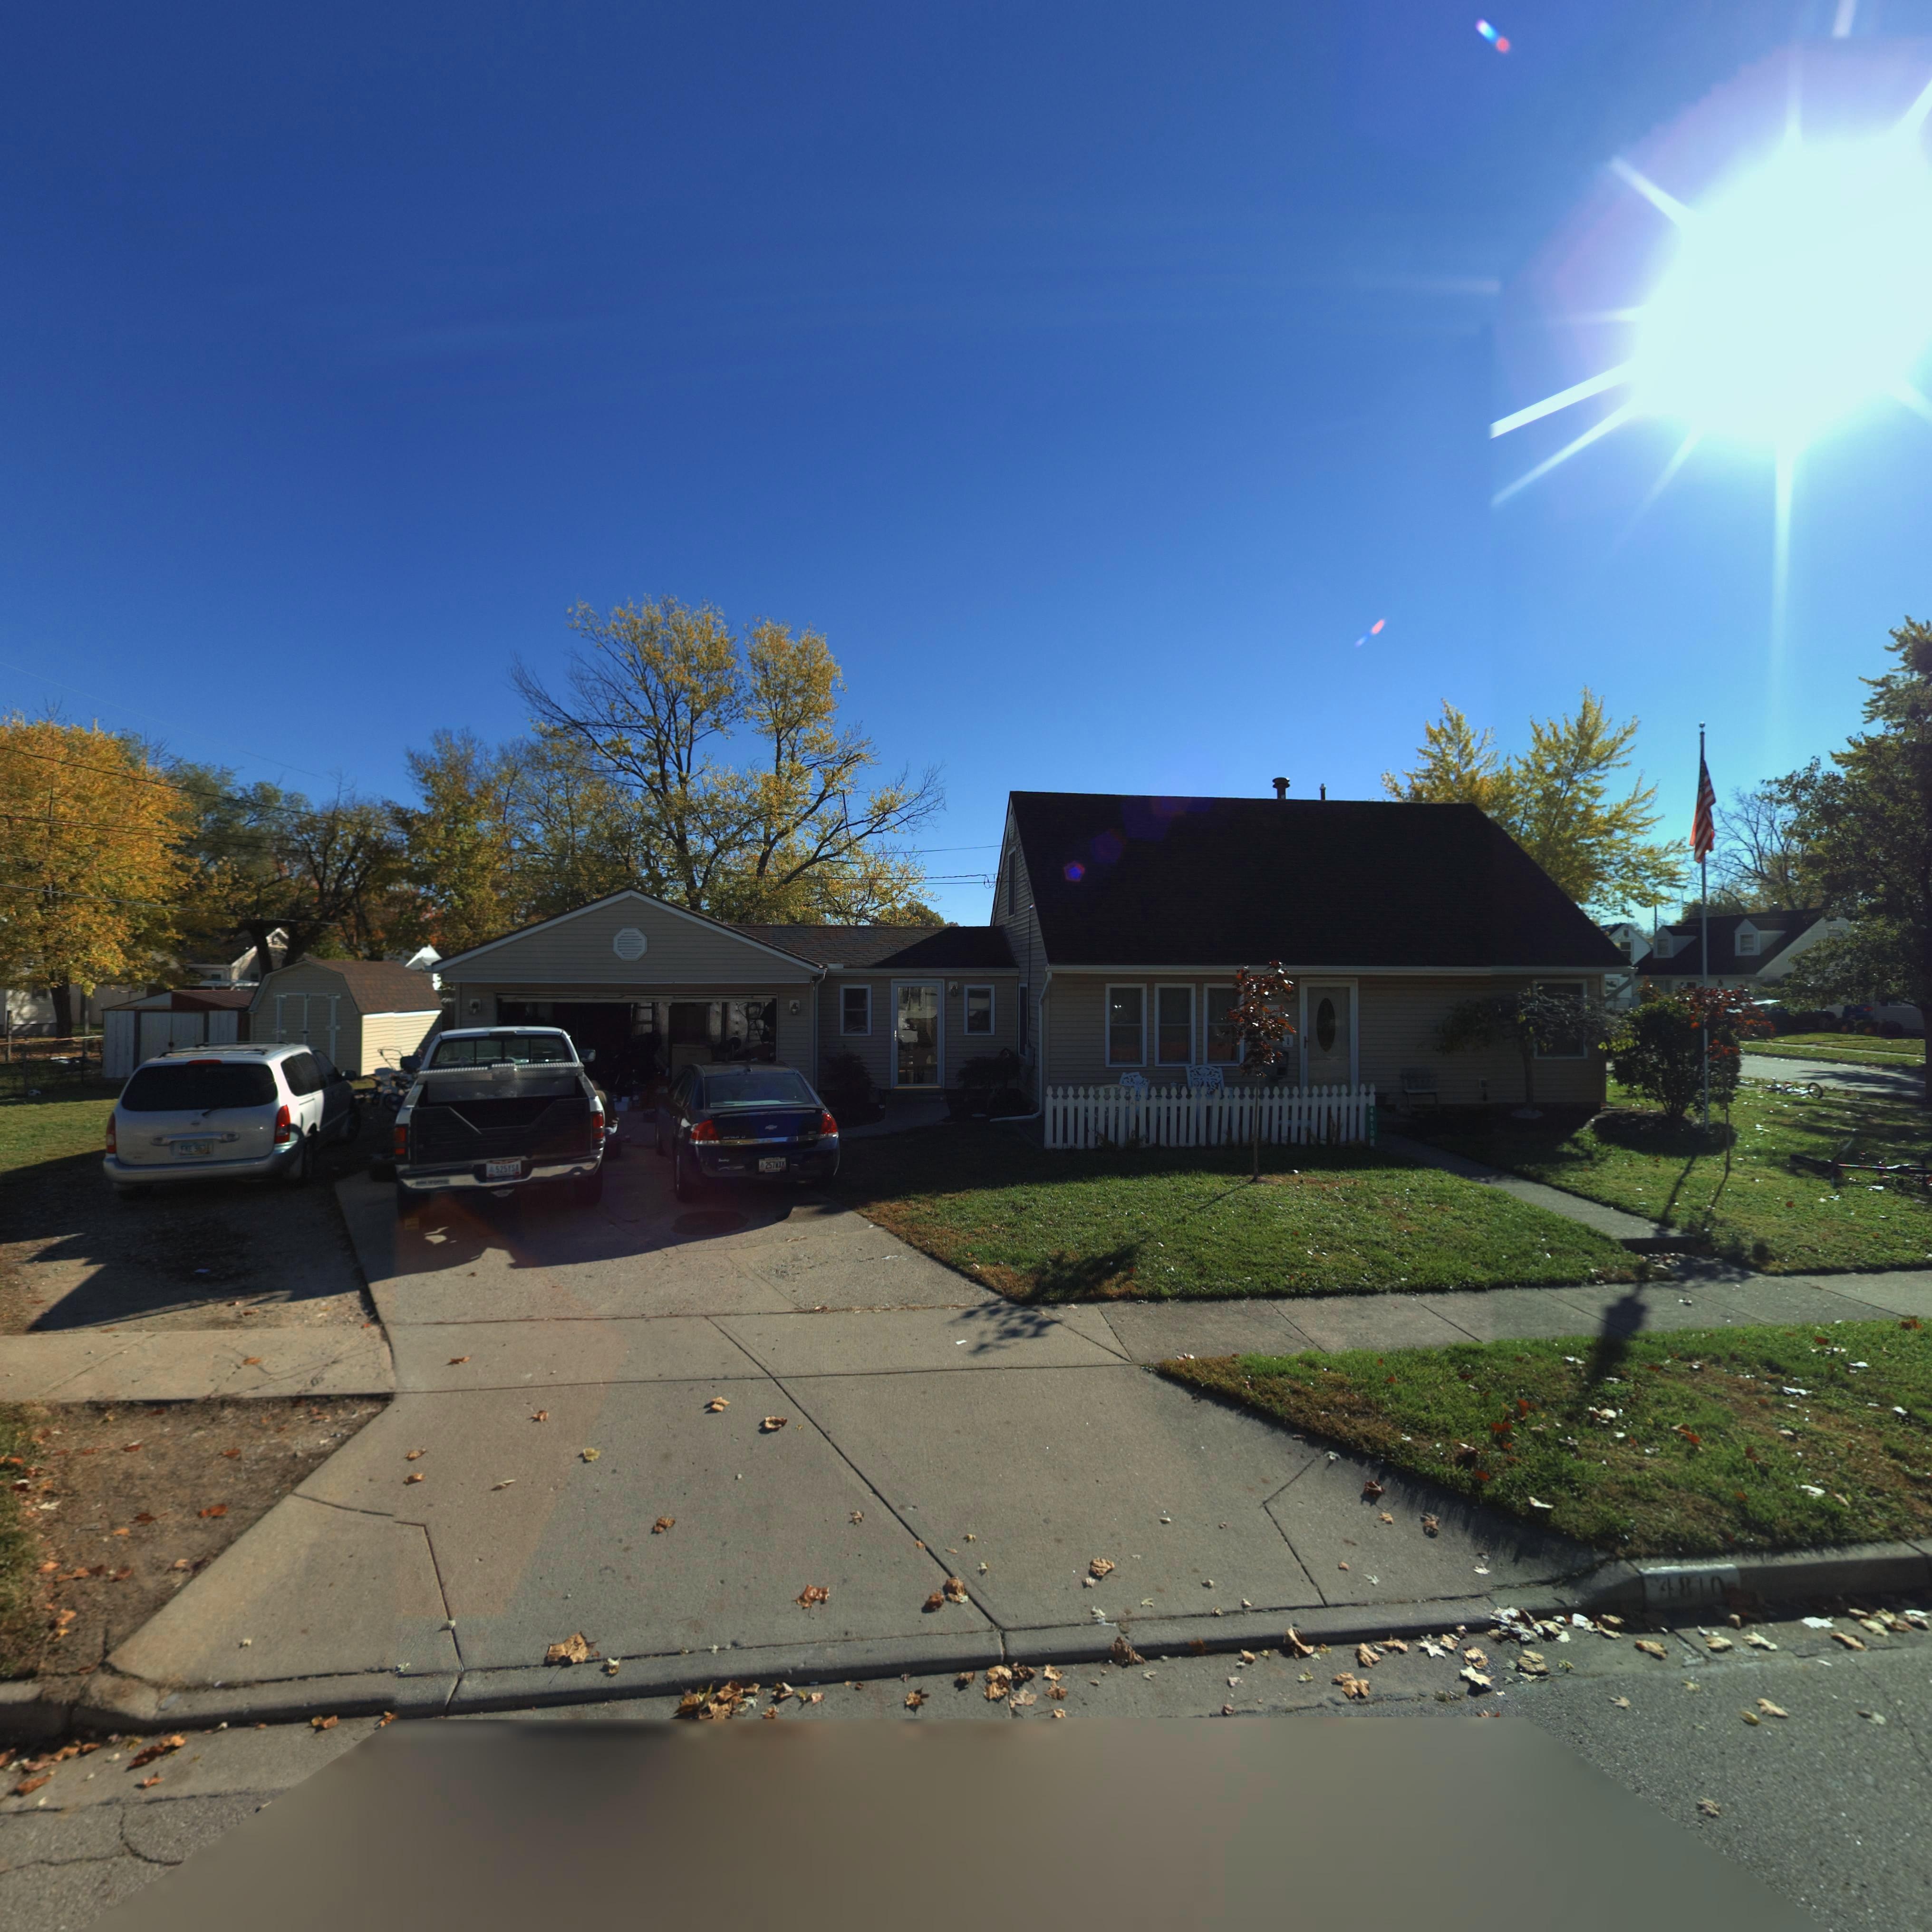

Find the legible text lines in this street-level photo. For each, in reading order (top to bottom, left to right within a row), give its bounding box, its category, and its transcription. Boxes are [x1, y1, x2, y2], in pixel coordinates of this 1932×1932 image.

[1369, 1107, 1374, 1137] StreetNumber: 4810